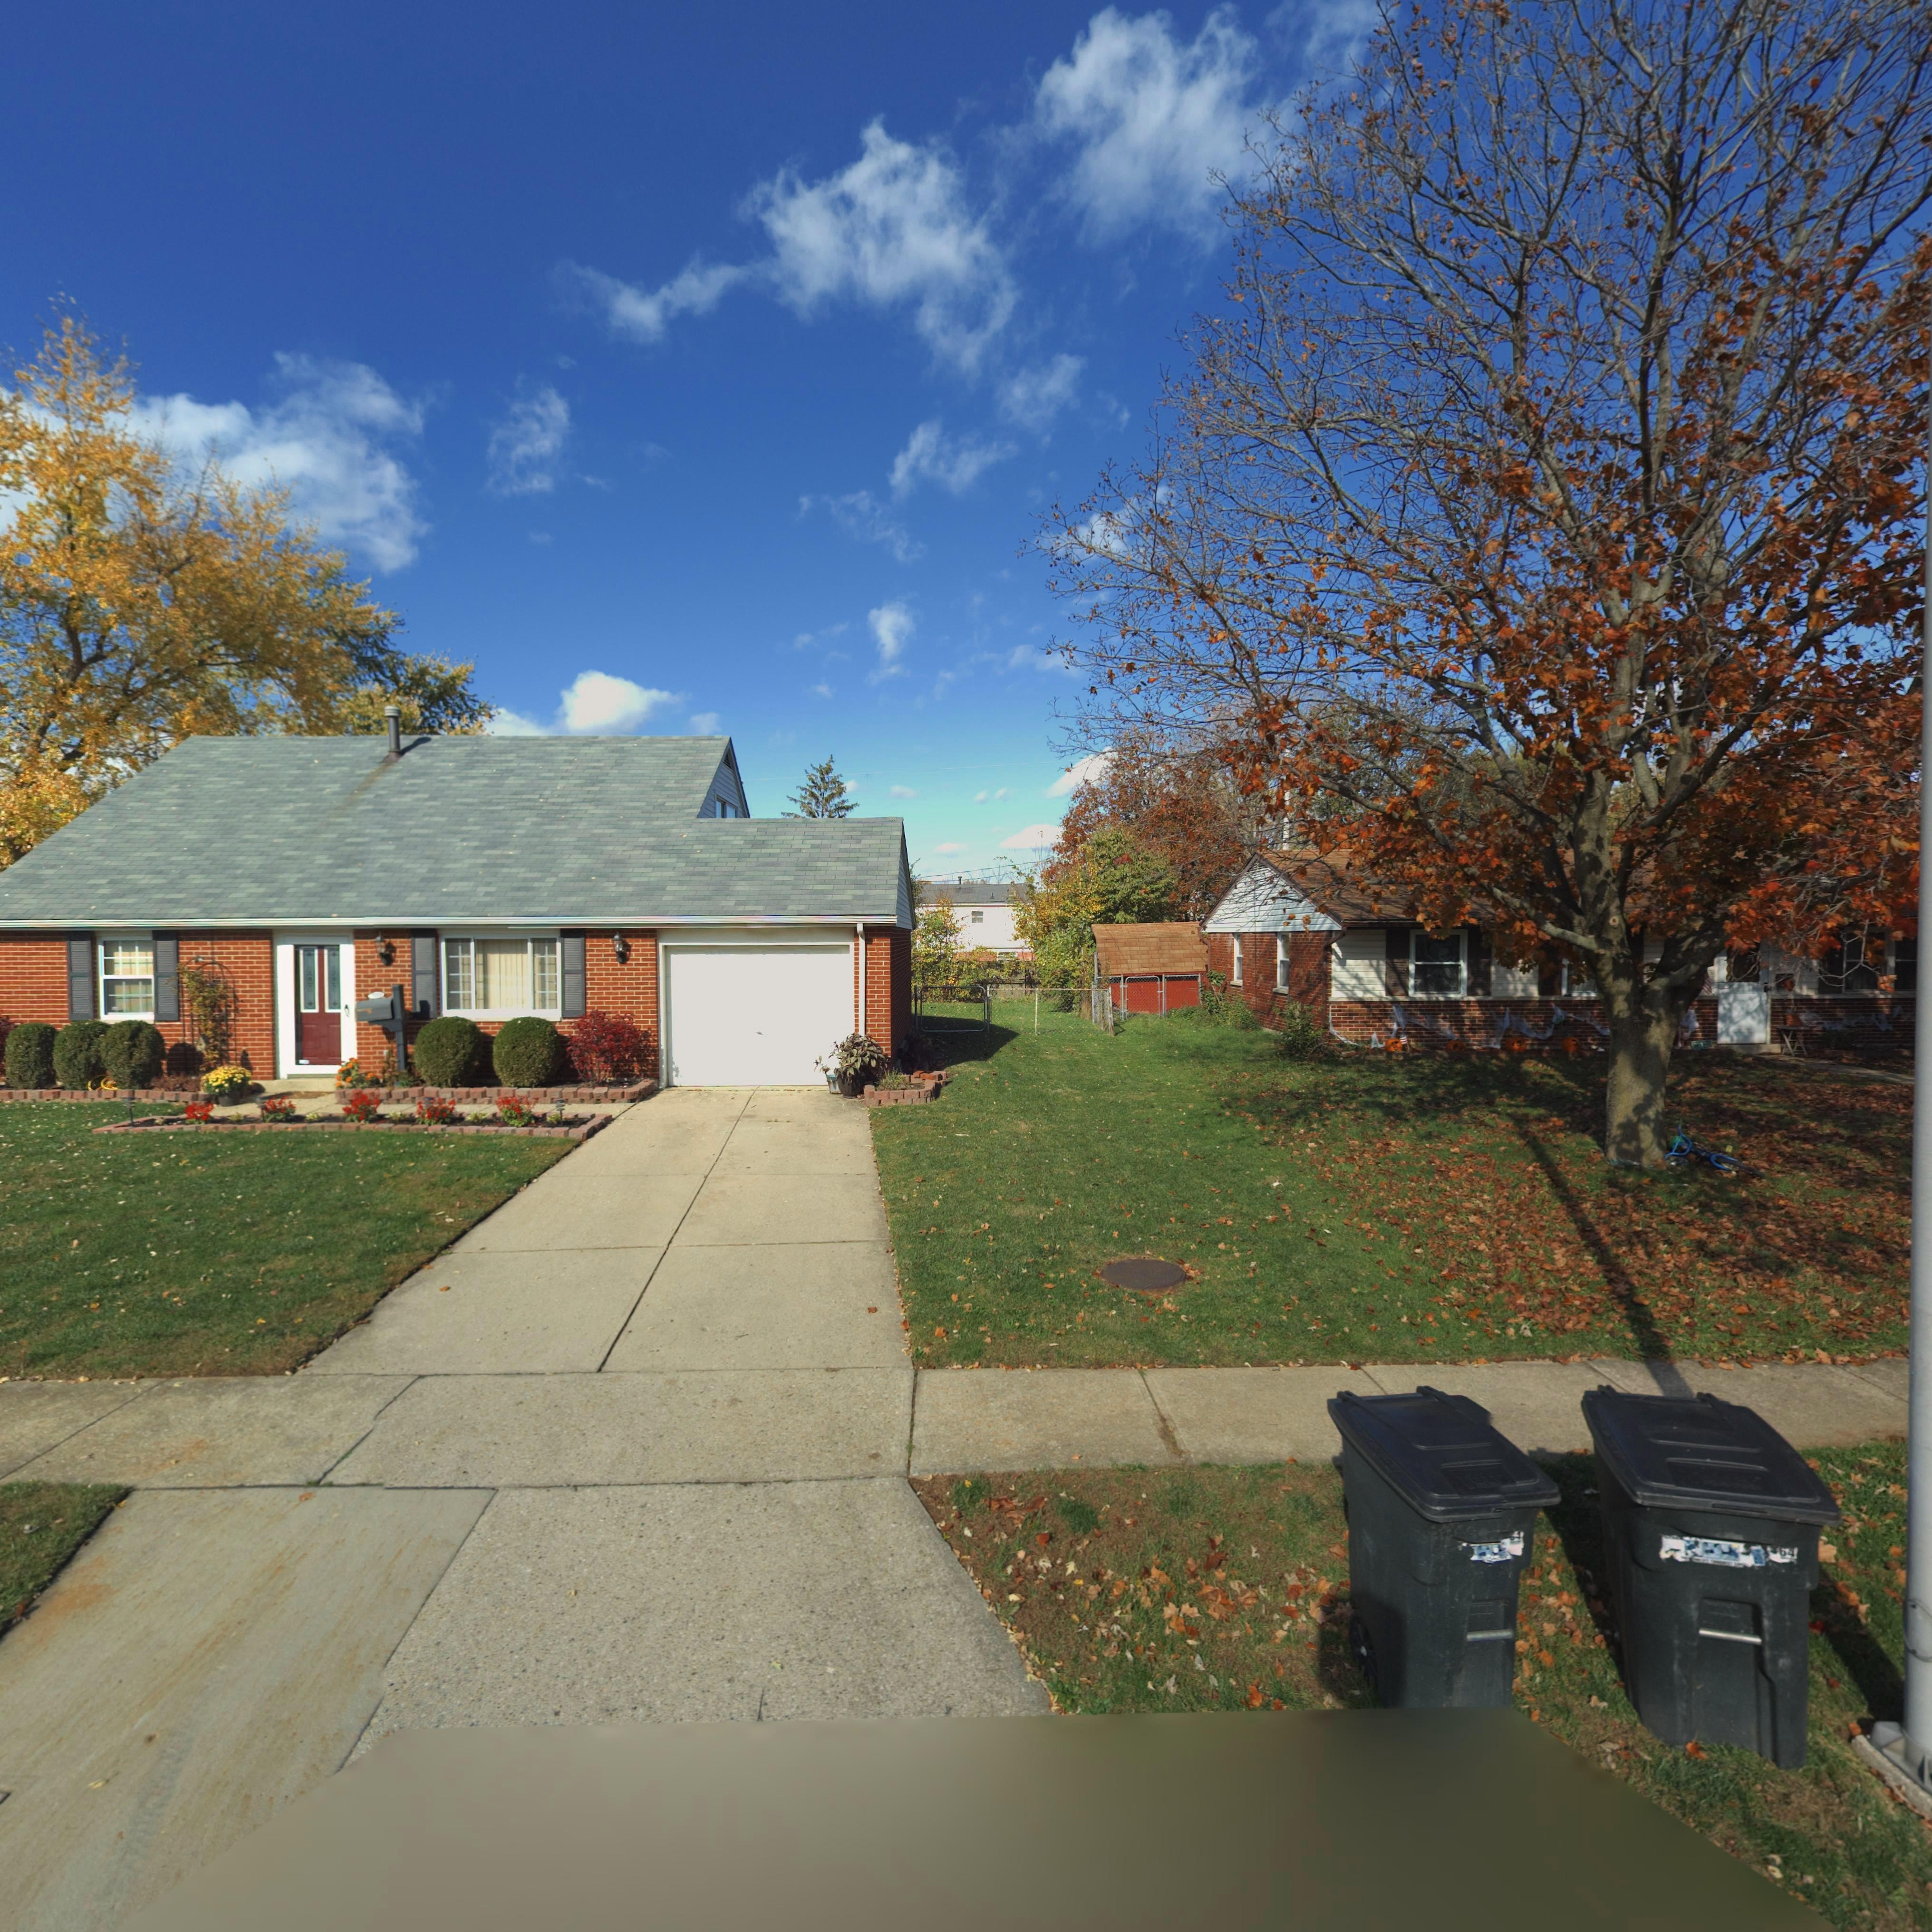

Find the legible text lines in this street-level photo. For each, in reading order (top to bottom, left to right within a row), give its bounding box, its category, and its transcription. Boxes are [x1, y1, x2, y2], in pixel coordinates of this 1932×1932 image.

[1805, 964, 1813, 974] StreetNumber: 07